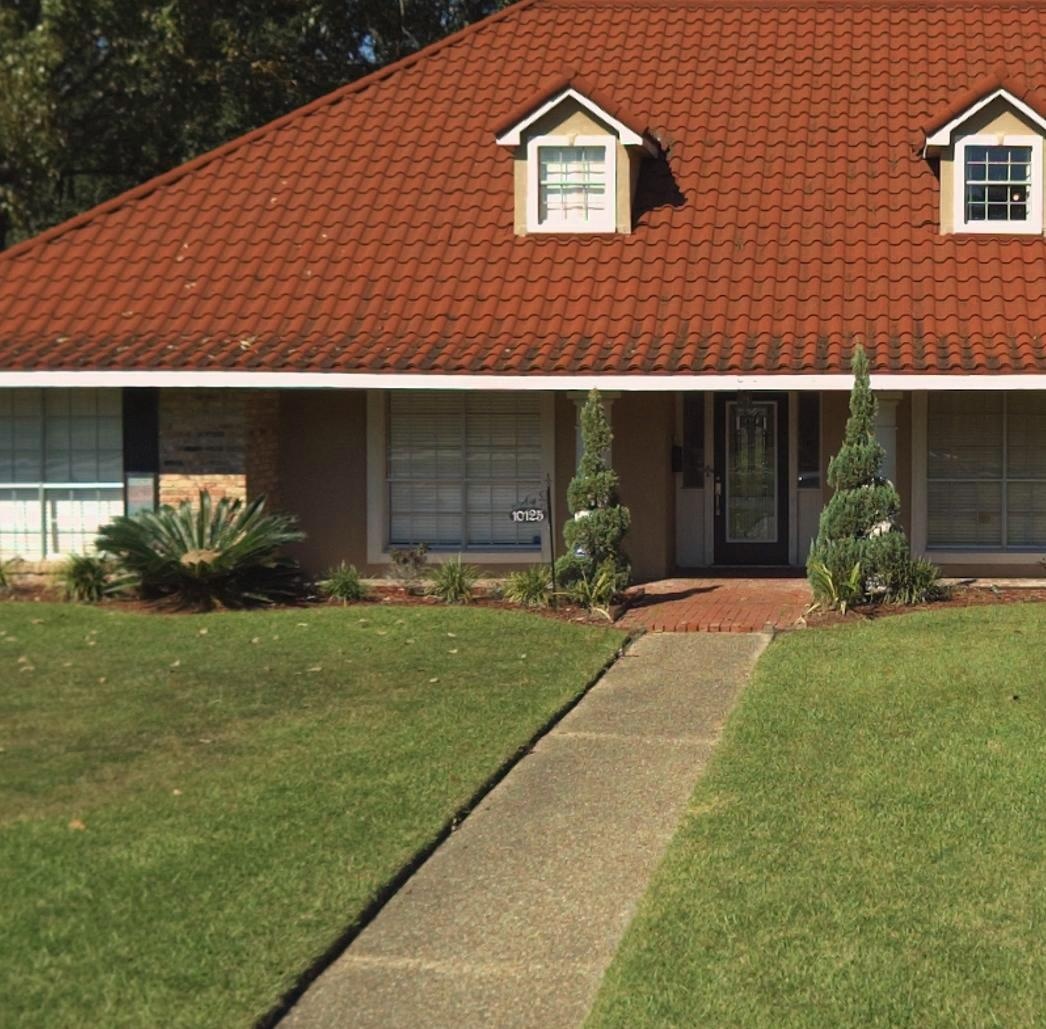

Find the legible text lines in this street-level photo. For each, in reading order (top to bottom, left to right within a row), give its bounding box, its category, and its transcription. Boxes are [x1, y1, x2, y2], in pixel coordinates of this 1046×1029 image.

[511, 508, 545, 523] StreetNumber: 10125